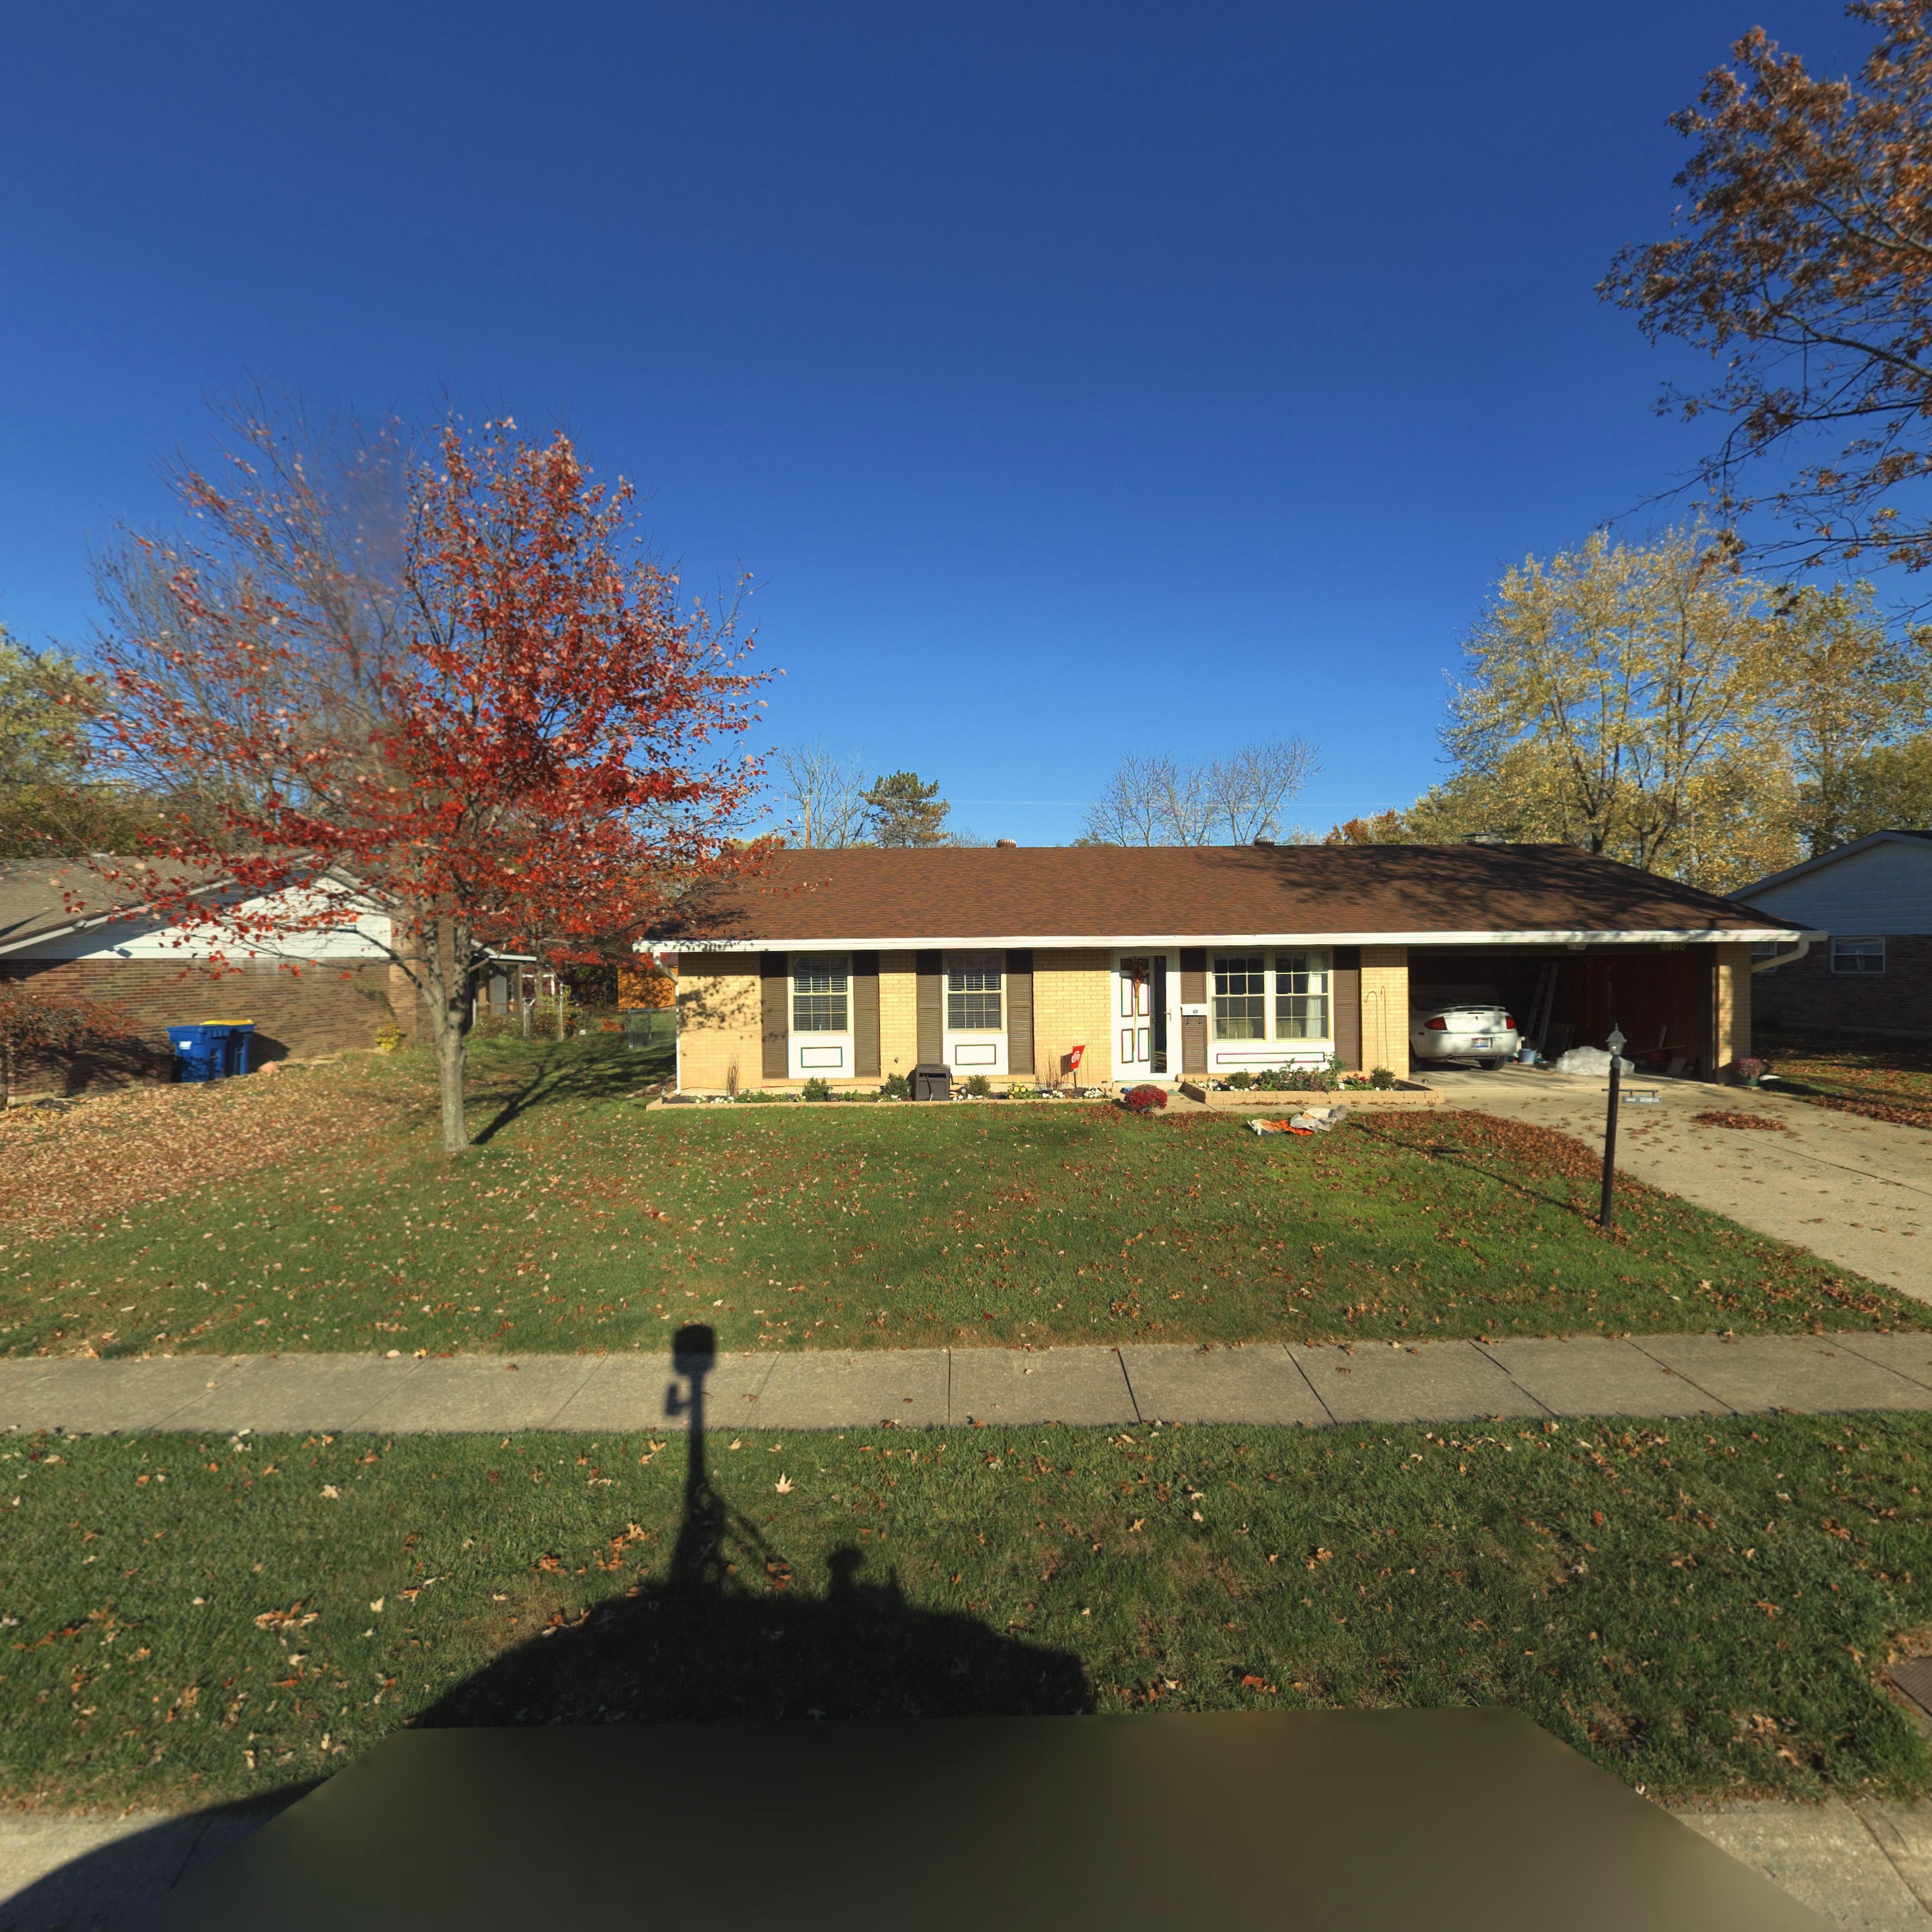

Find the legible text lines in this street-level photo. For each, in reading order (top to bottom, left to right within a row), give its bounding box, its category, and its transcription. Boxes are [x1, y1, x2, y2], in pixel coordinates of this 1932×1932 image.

[1659, 942, 1688, 952] StreetNumber: 6800